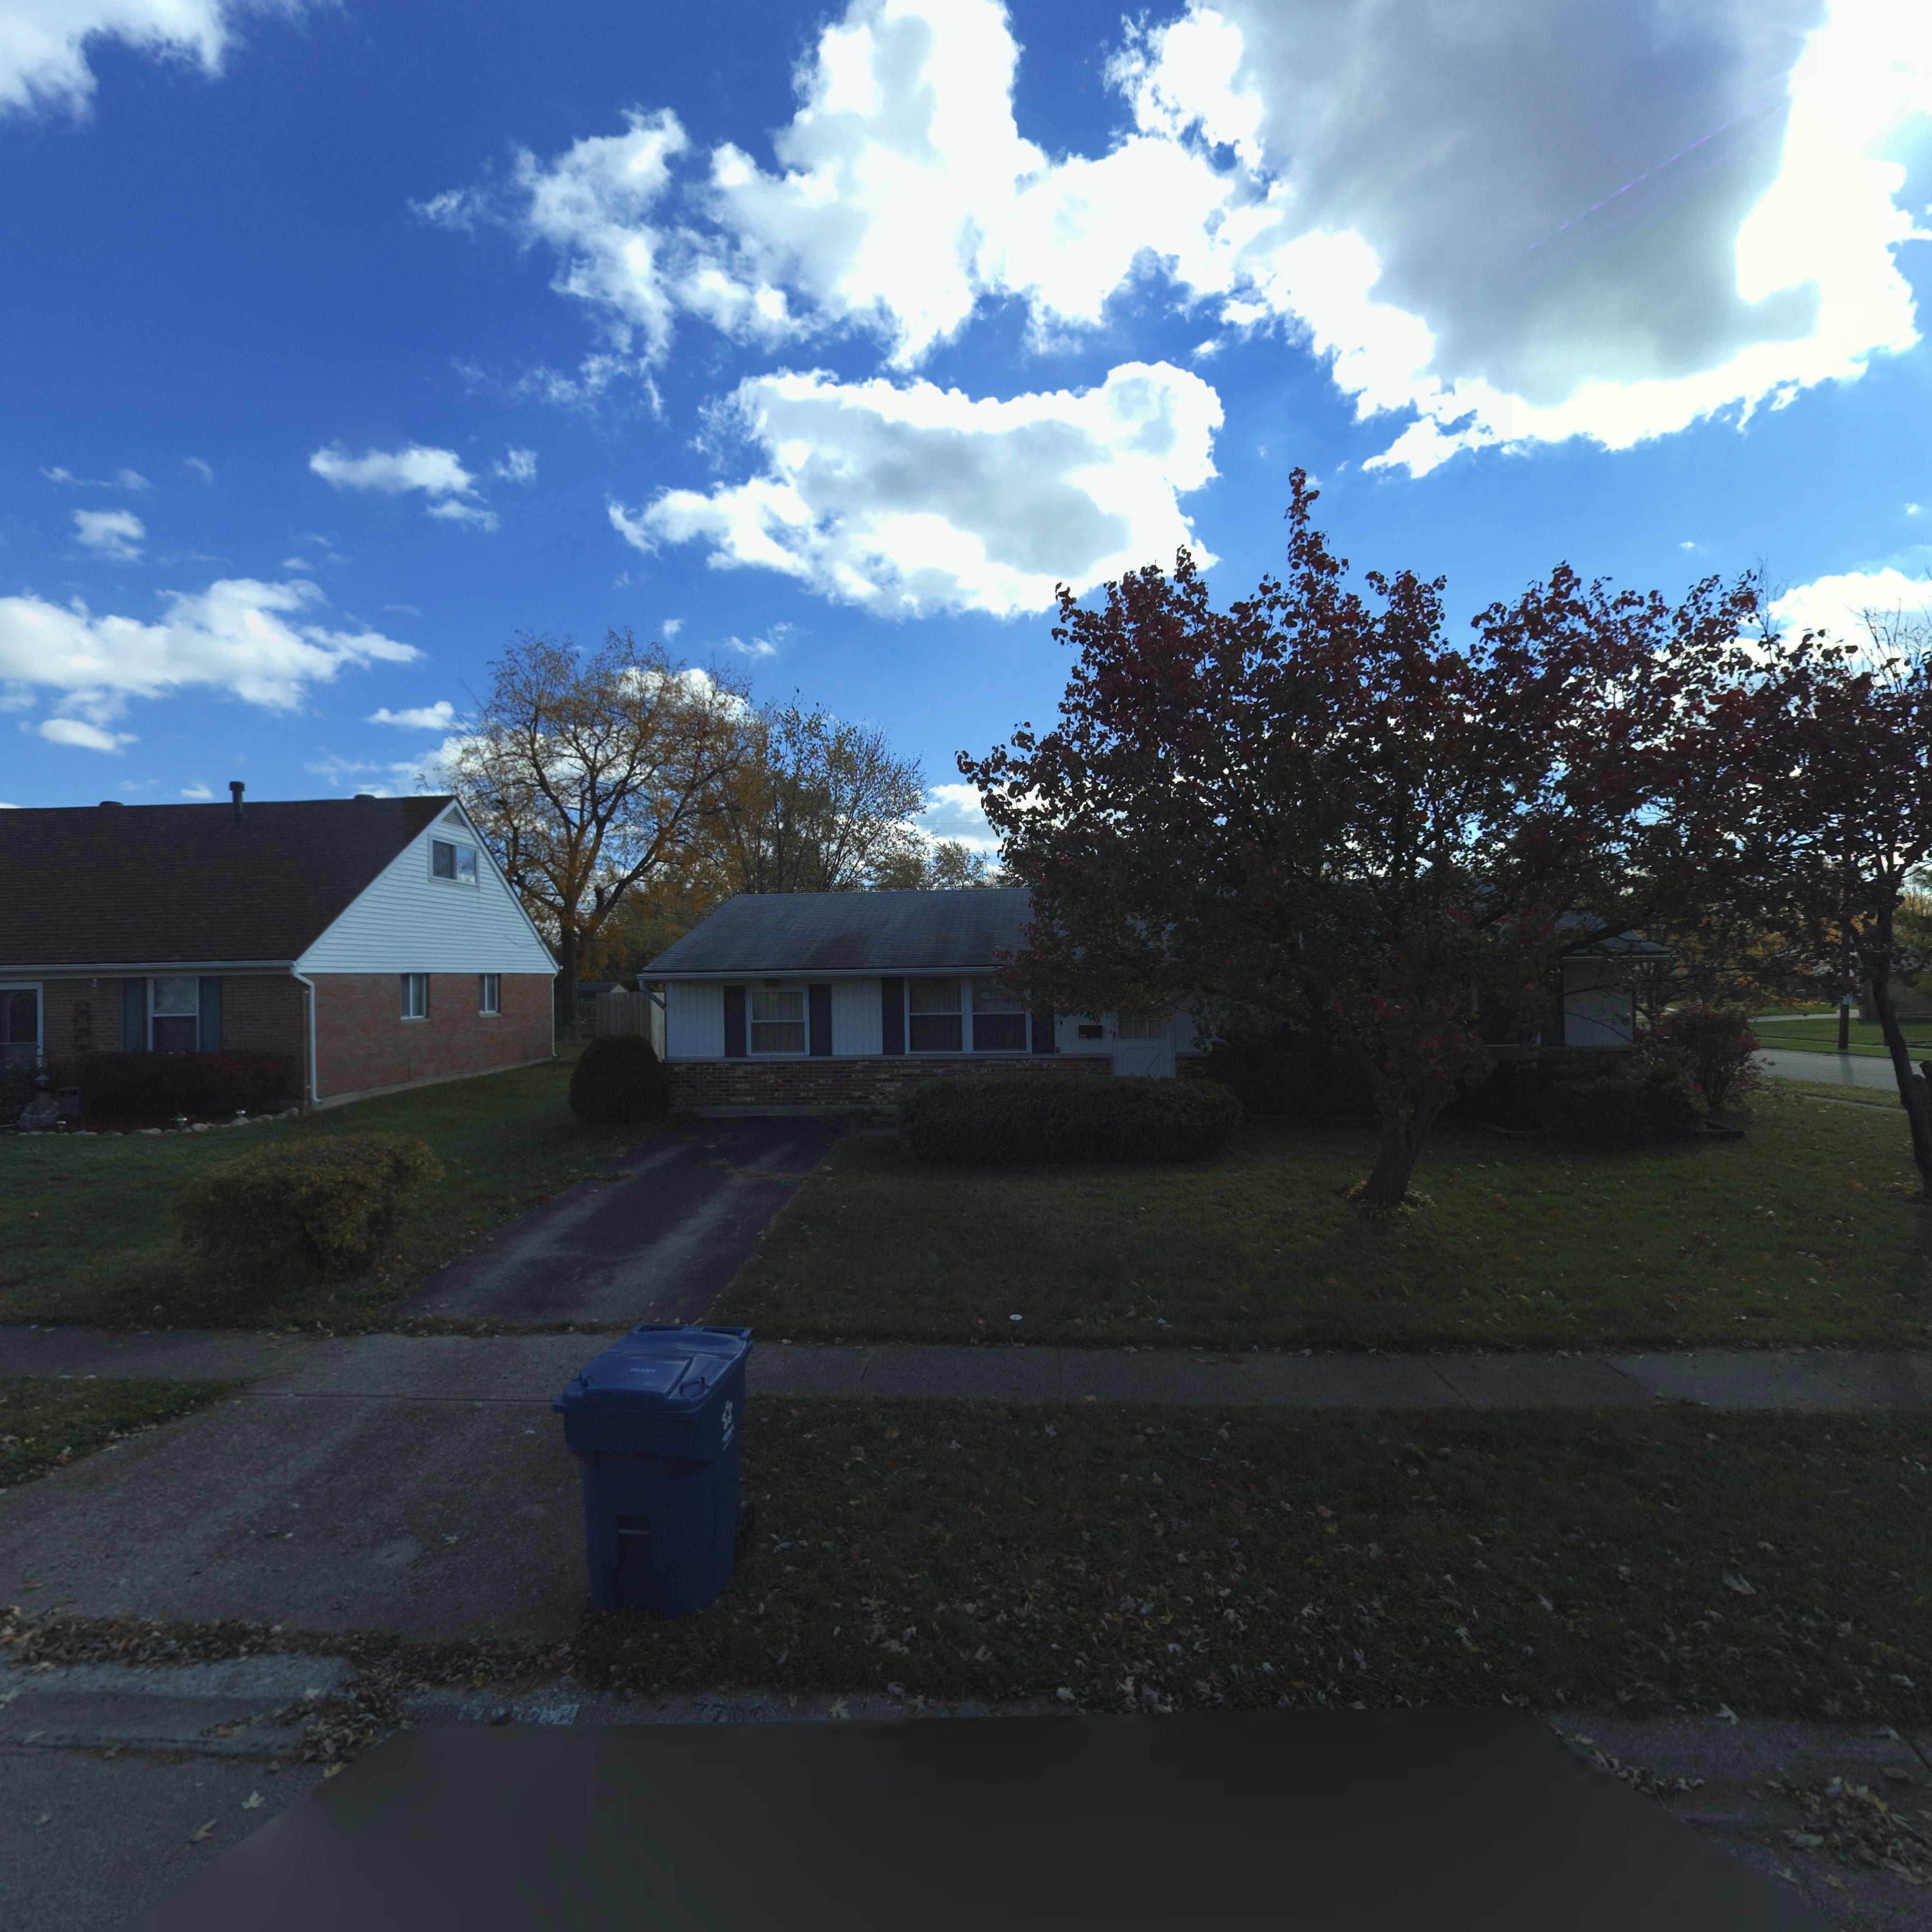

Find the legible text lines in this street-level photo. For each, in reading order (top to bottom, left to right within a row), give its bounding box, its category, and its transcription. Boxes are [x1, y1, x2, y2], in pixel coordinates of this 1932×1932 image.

[1087, 1011, 1095, 1020] StreetNumber: 0
[691, 1700, 730, 1727] StreetNumber: 77